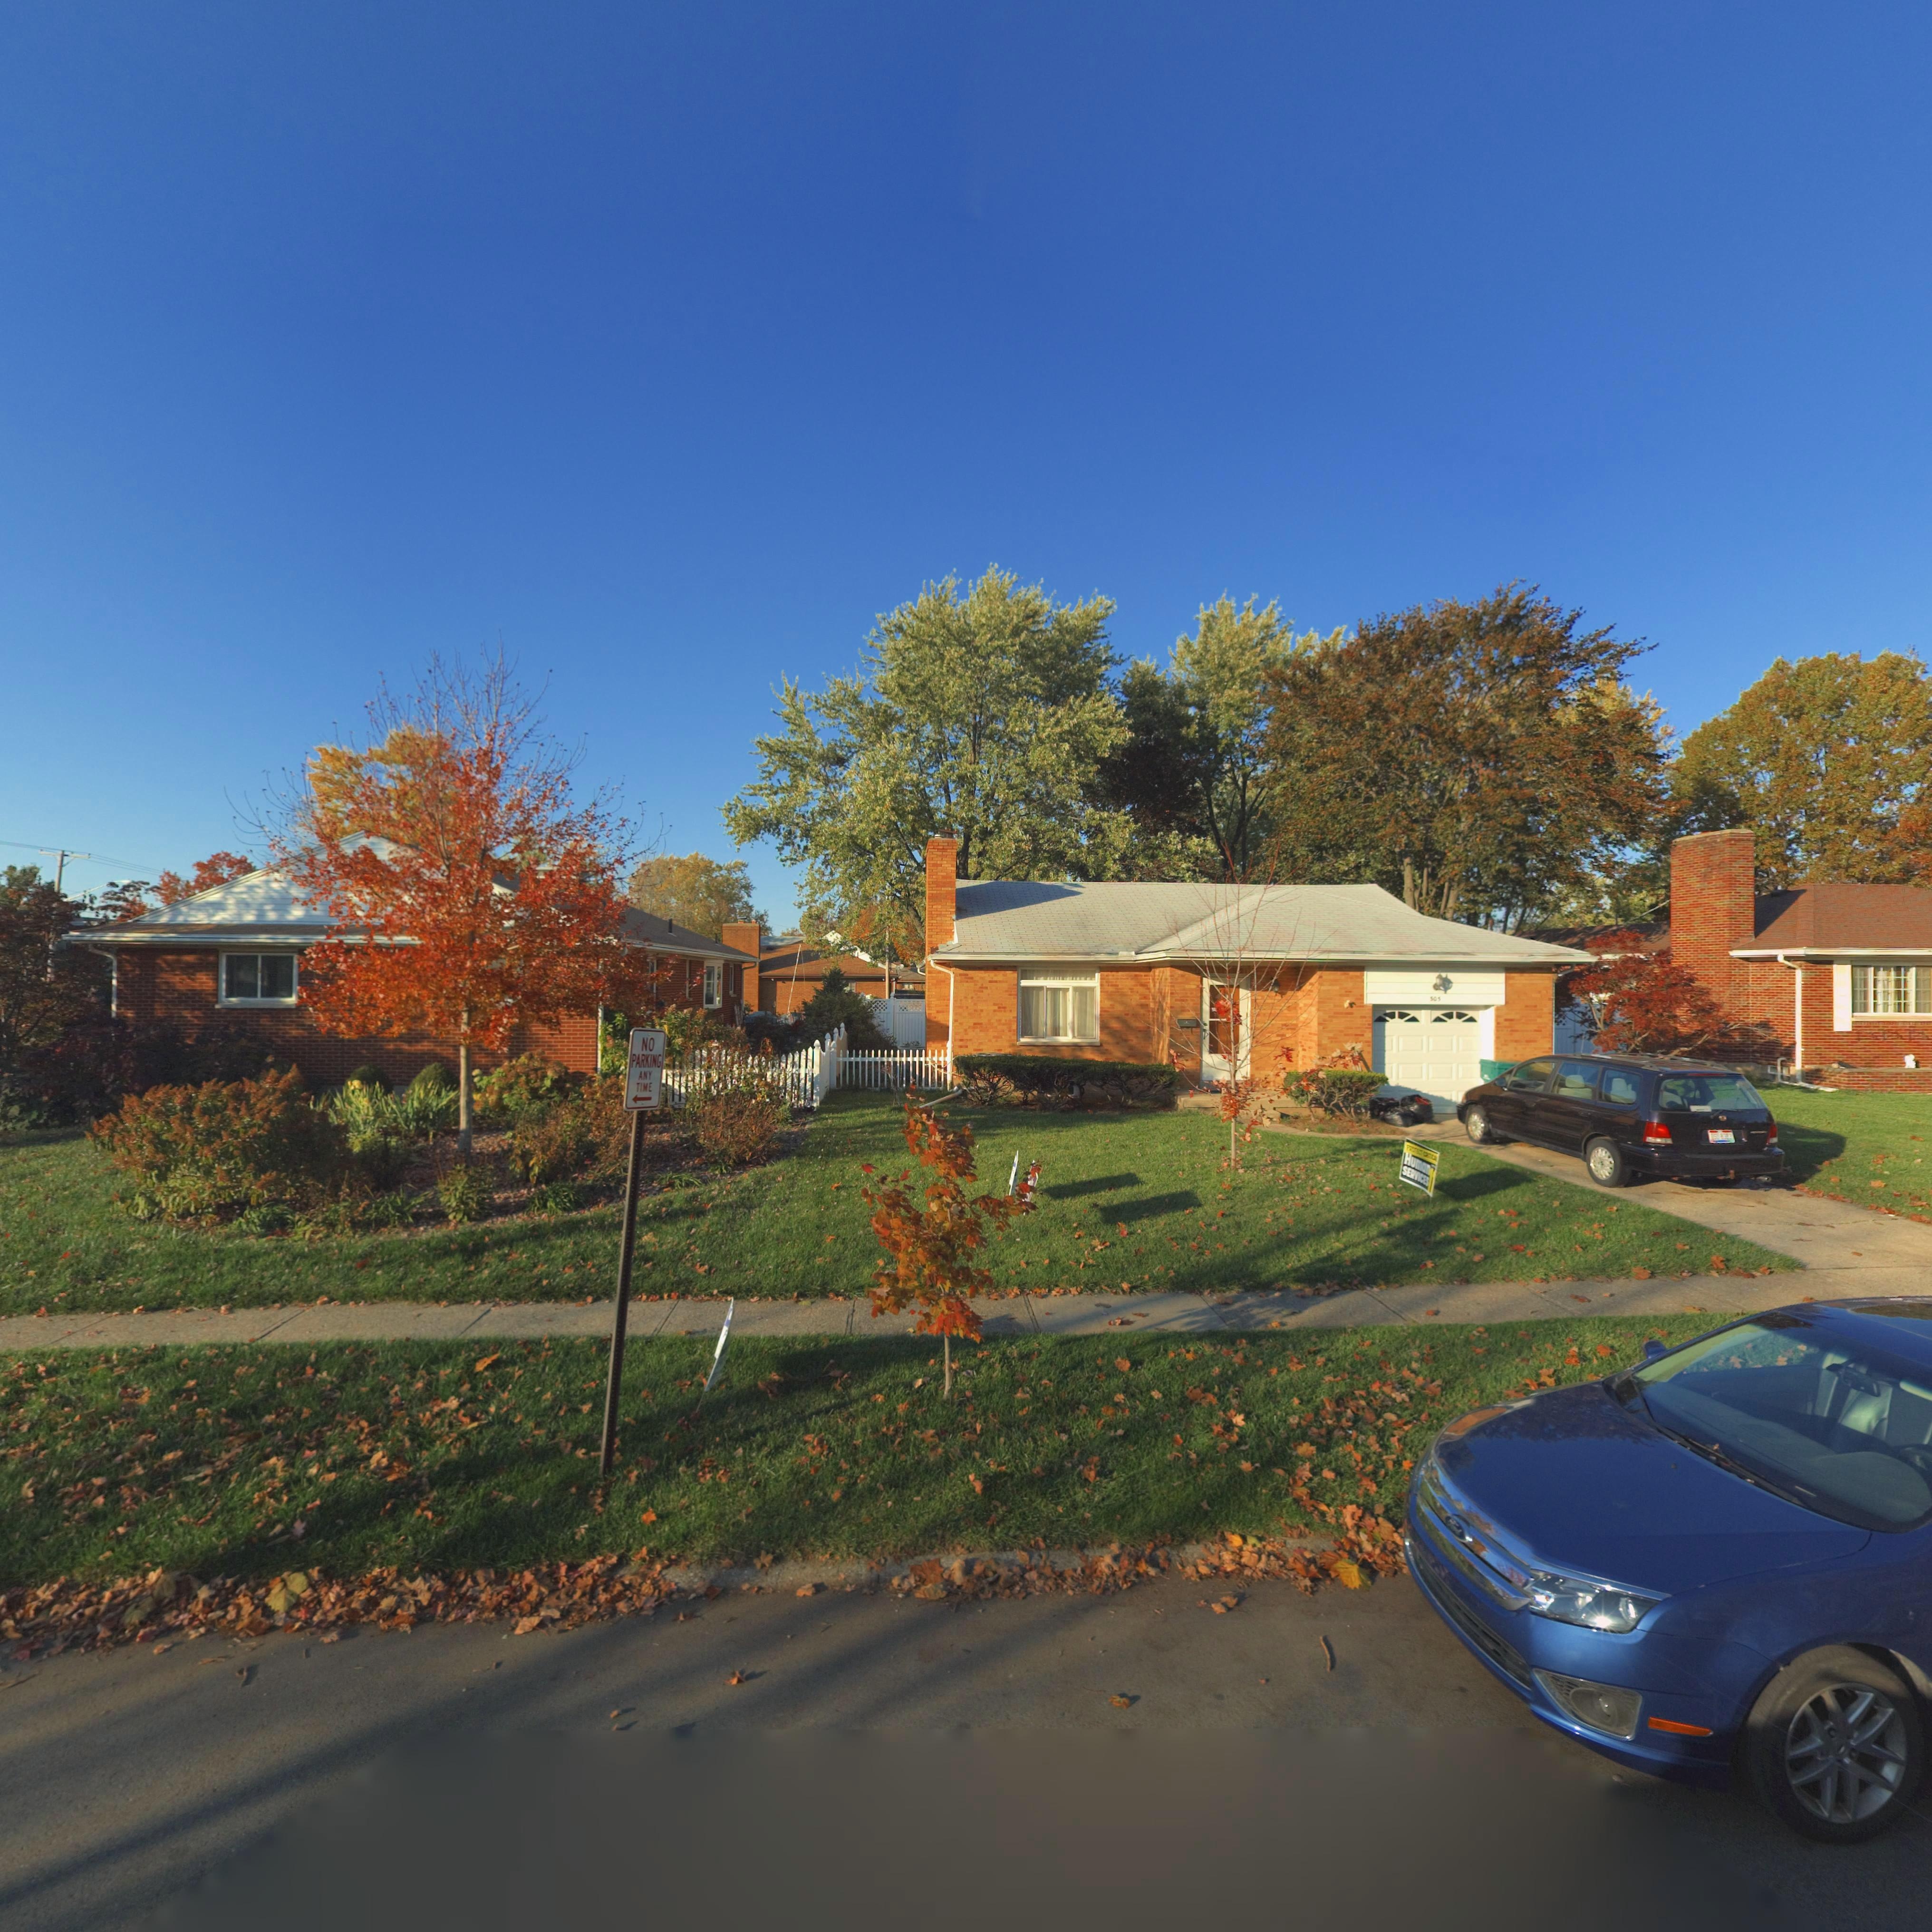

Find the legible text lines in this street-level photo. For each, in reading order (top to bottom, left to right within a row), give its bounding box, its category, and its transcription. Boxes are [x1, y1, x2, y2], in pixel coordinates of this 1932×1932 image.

[1430, 995, 1441, 1001] StreetNumber: 50*